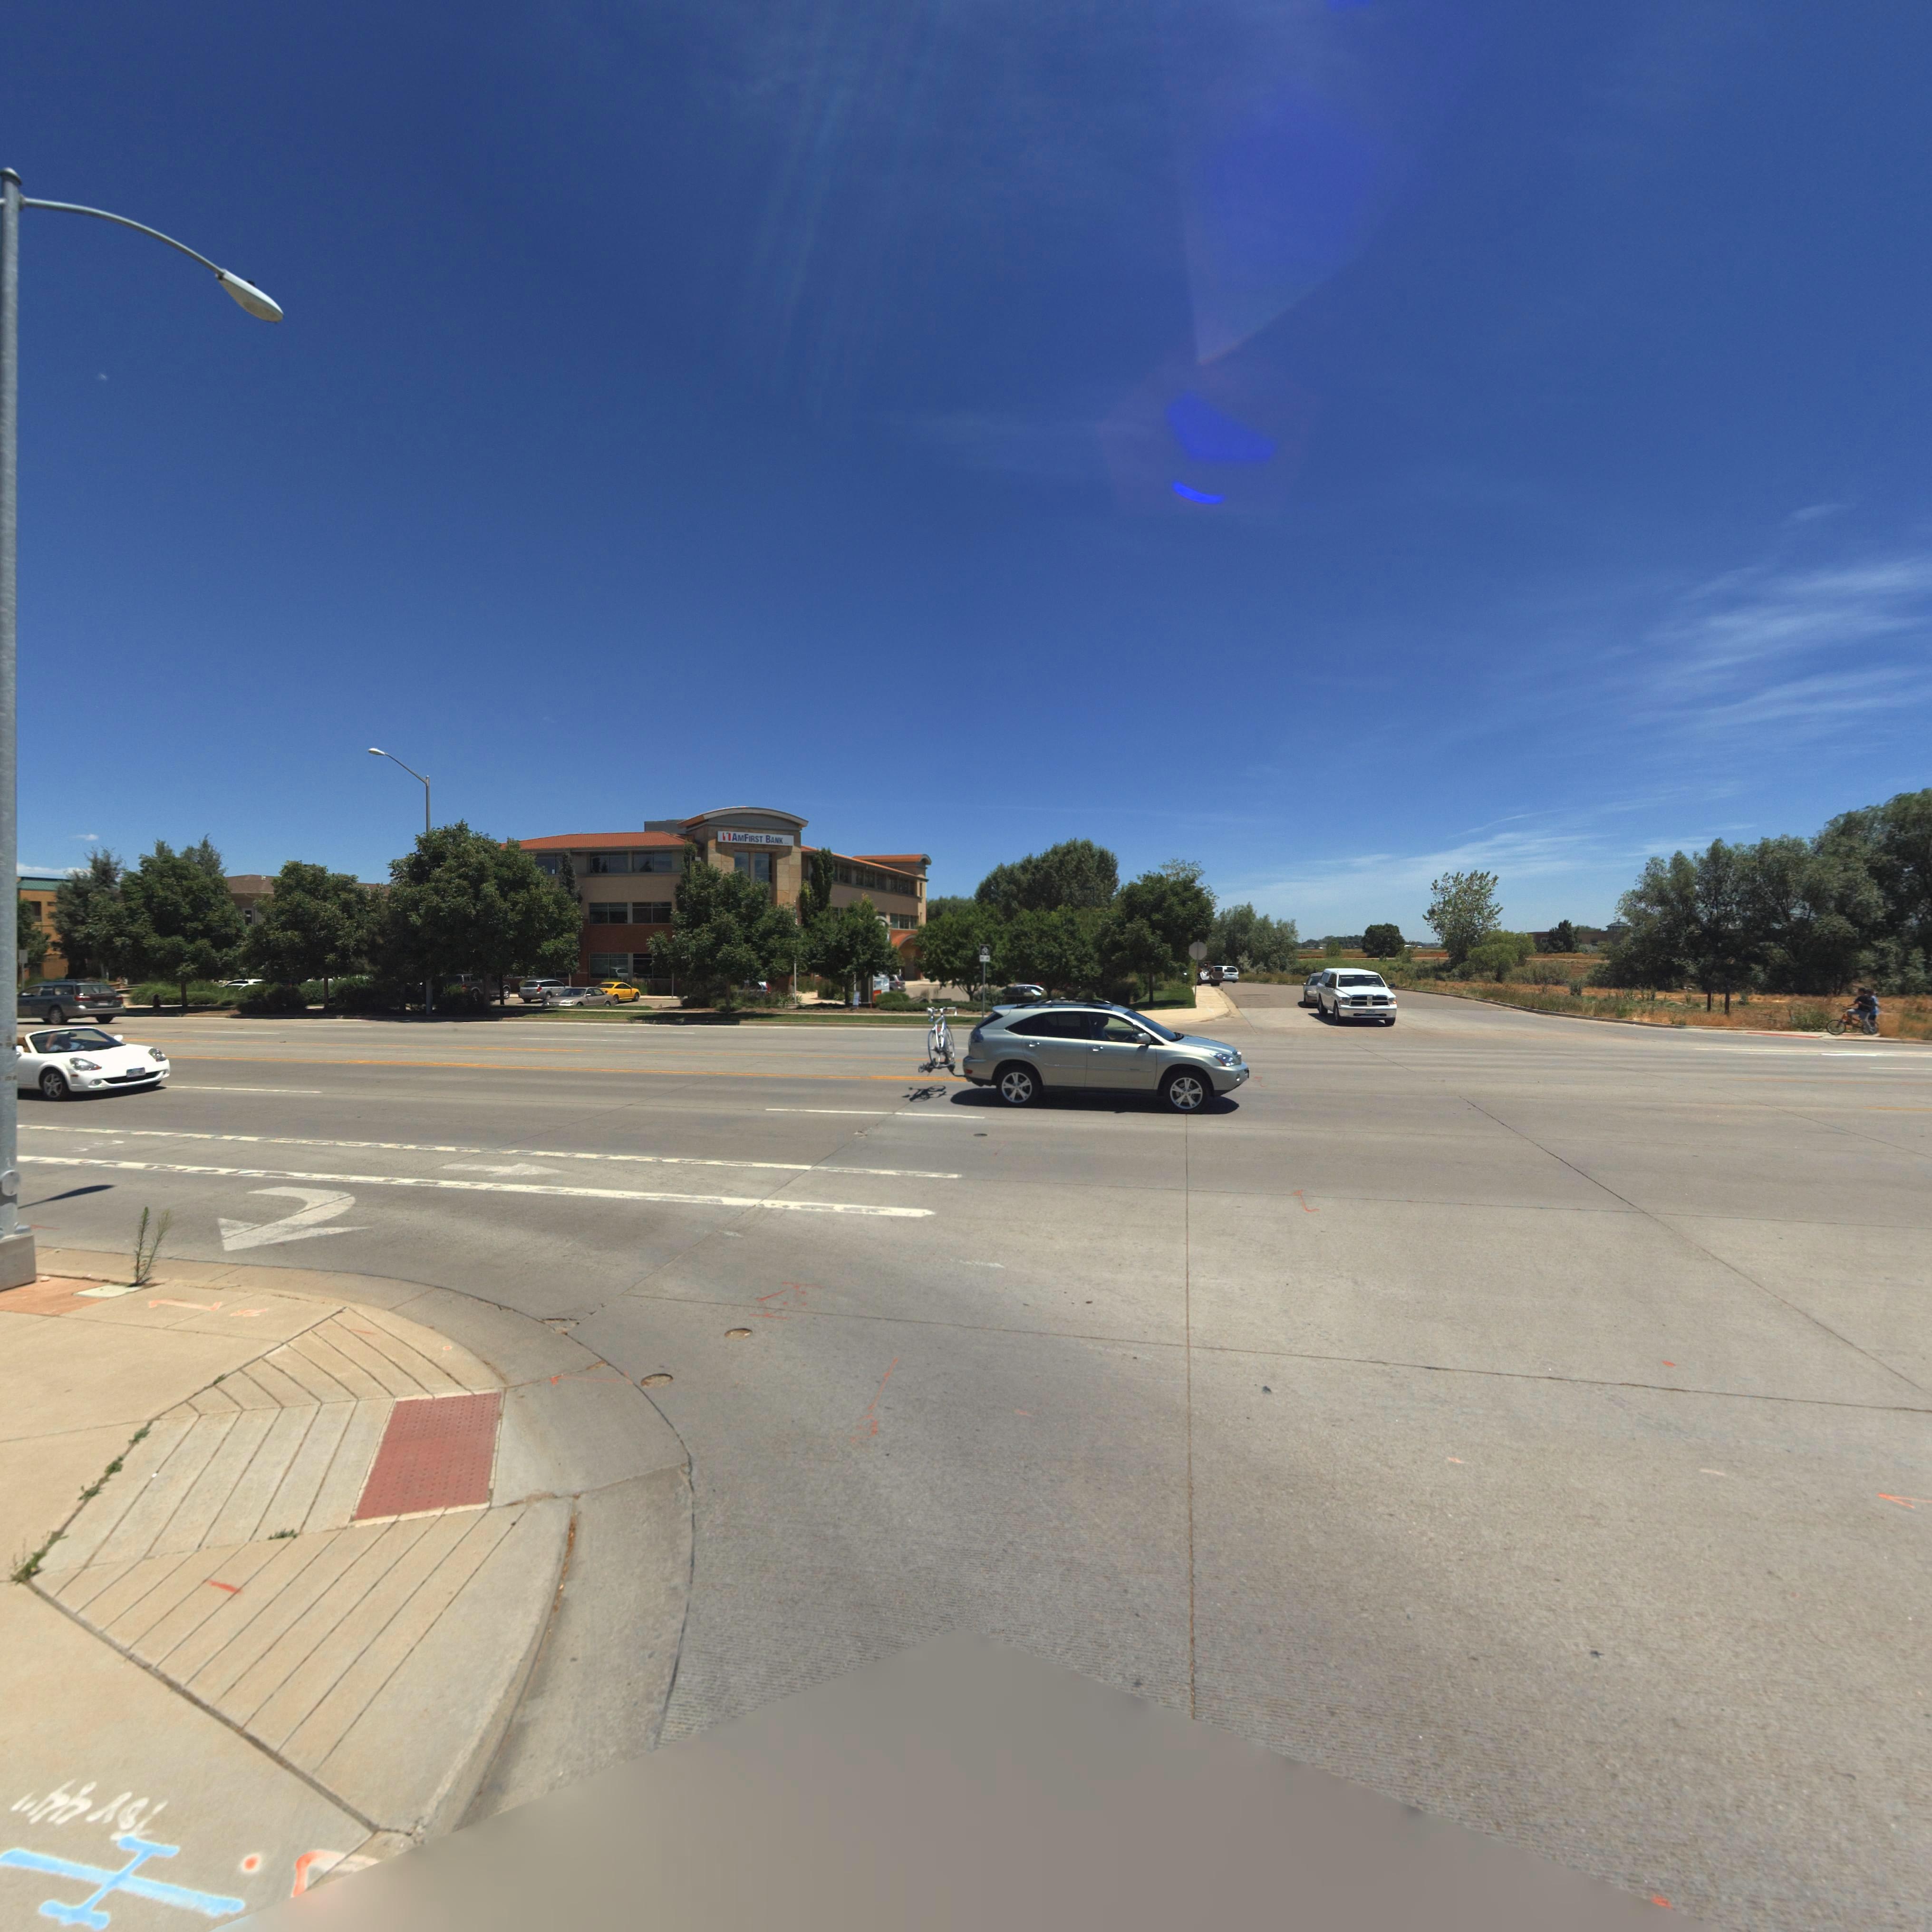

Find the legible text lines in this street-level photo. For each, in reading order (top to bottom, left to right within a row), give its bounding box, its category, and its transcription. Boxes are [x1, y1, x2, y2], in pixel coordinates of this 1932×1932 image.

[732, 832, 783, 844] BusinessName: AmFirst Bank